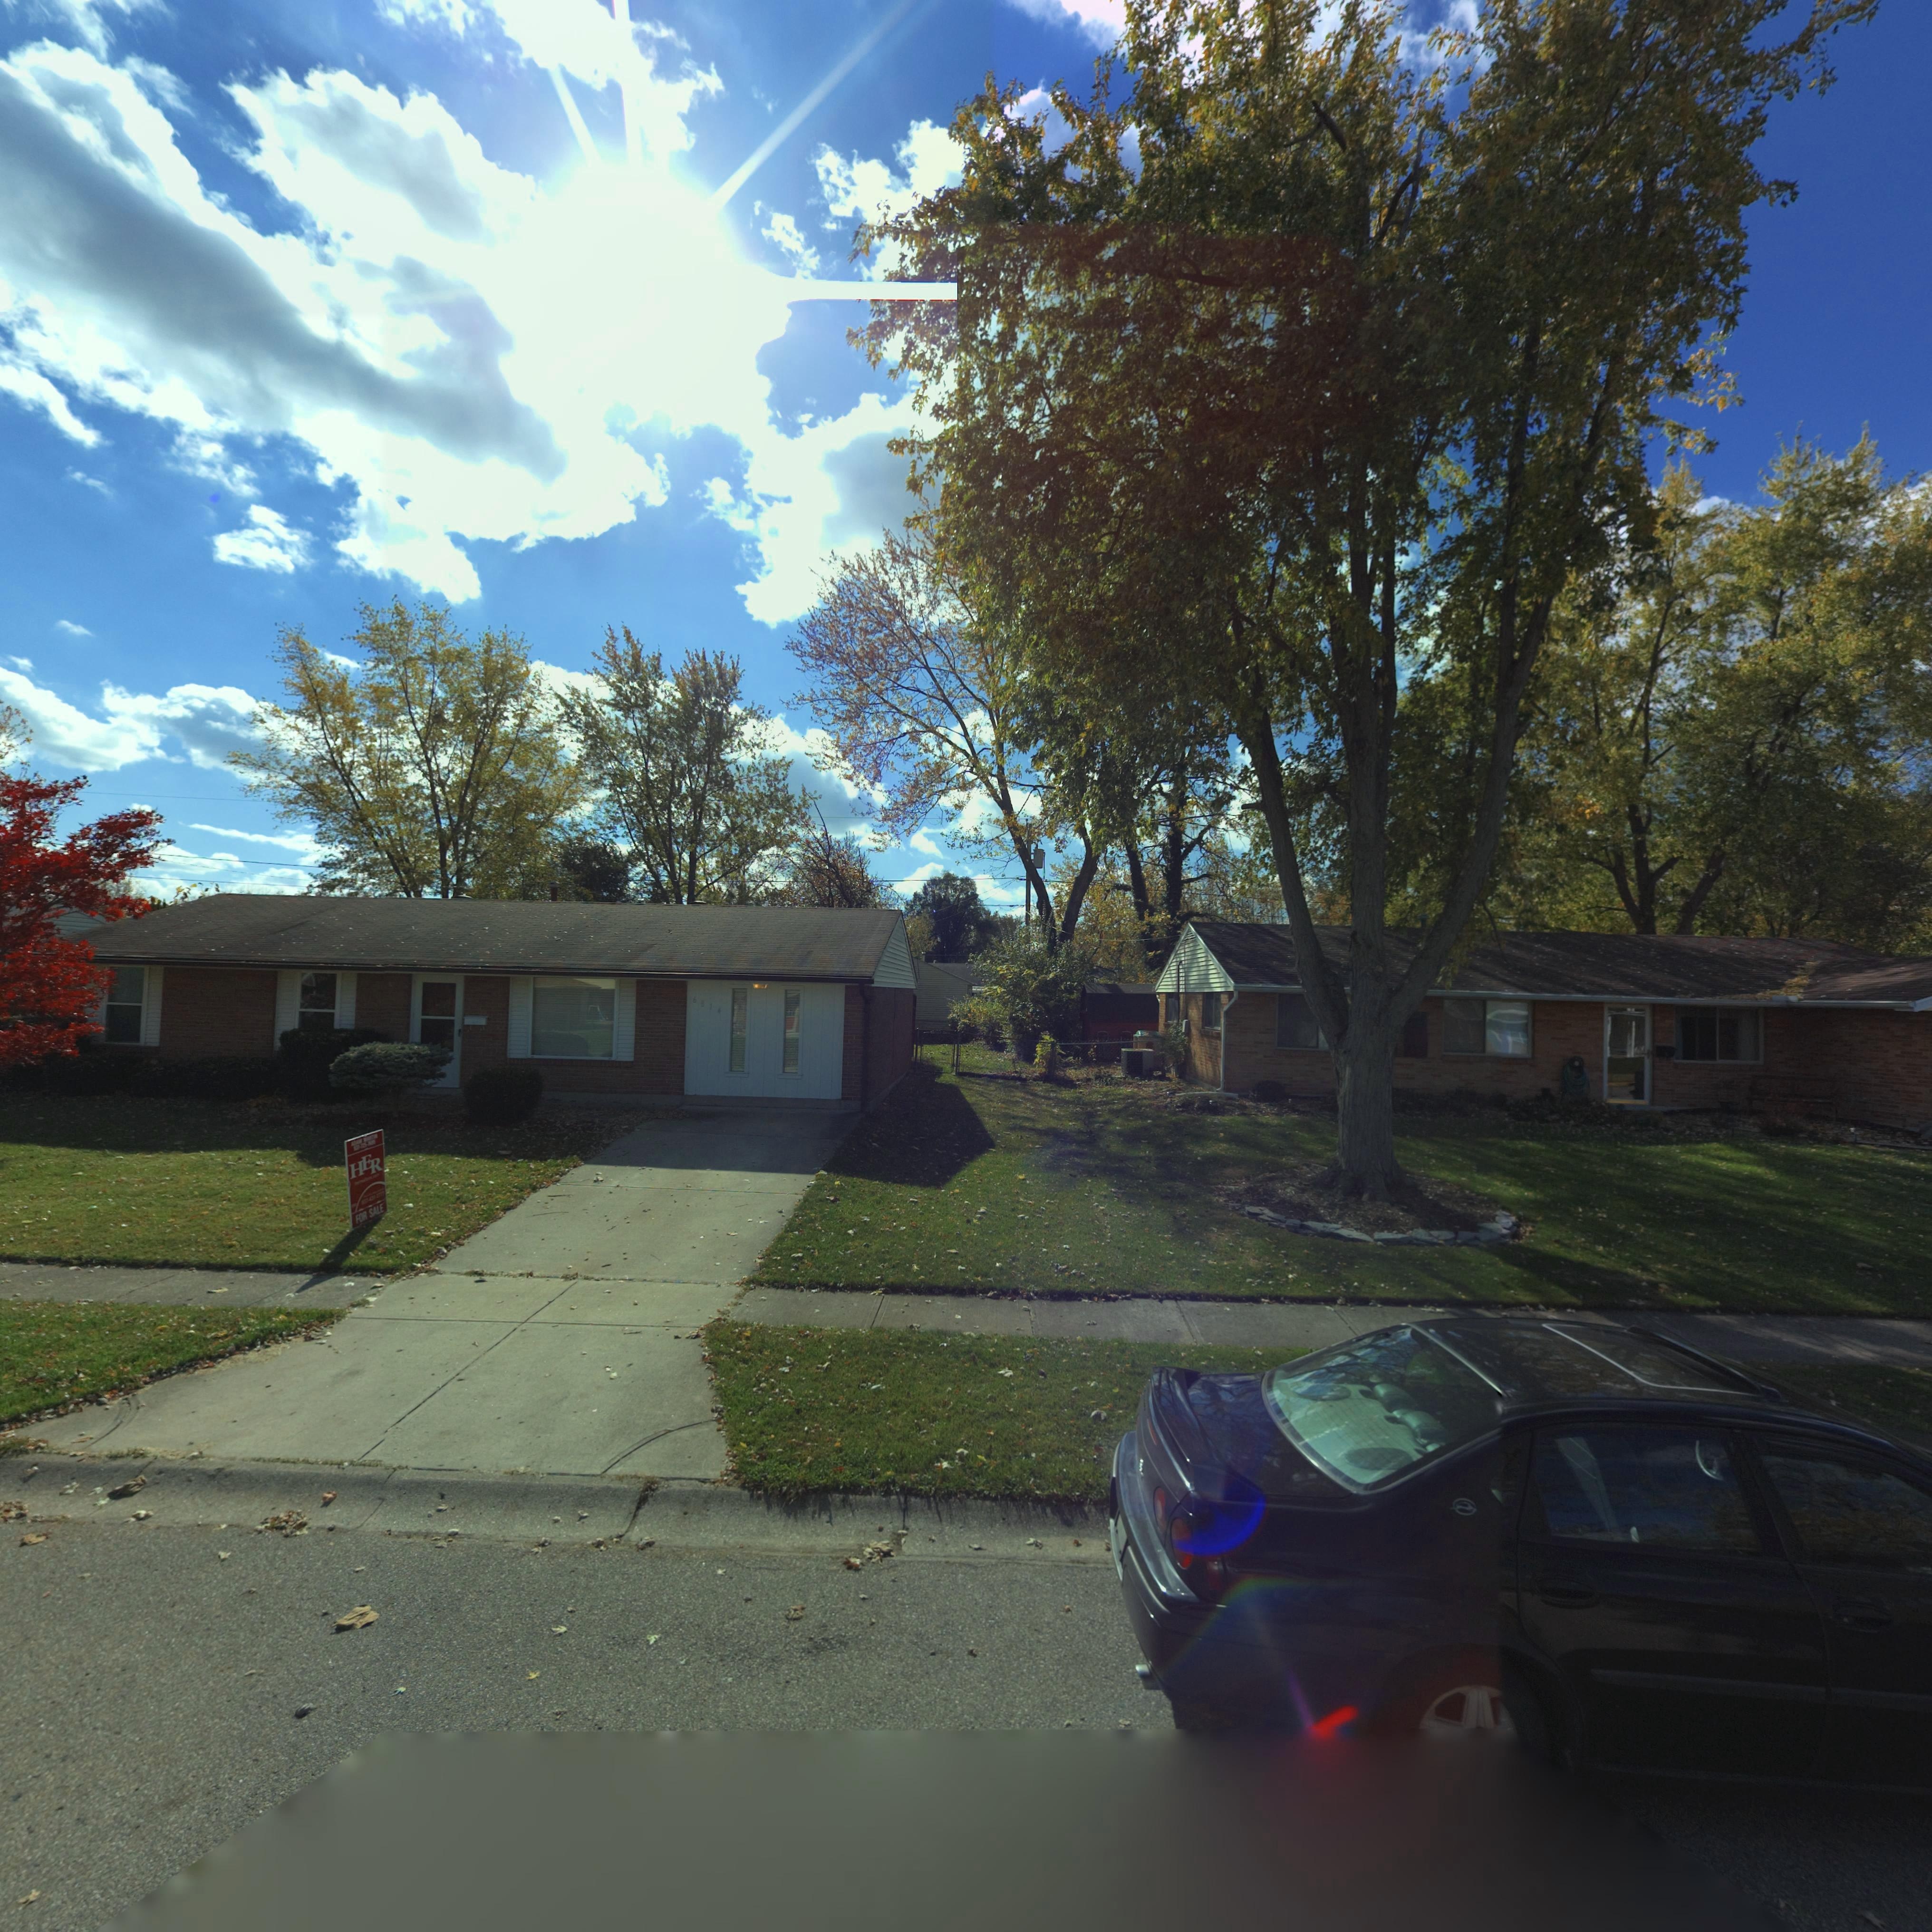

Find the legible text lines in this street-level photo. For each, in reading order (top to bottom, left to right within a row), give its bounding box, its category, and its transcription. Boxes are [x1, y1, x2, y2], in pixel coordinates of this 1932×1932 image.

[692, 995, 722, 1014] StreetNumber: 6814